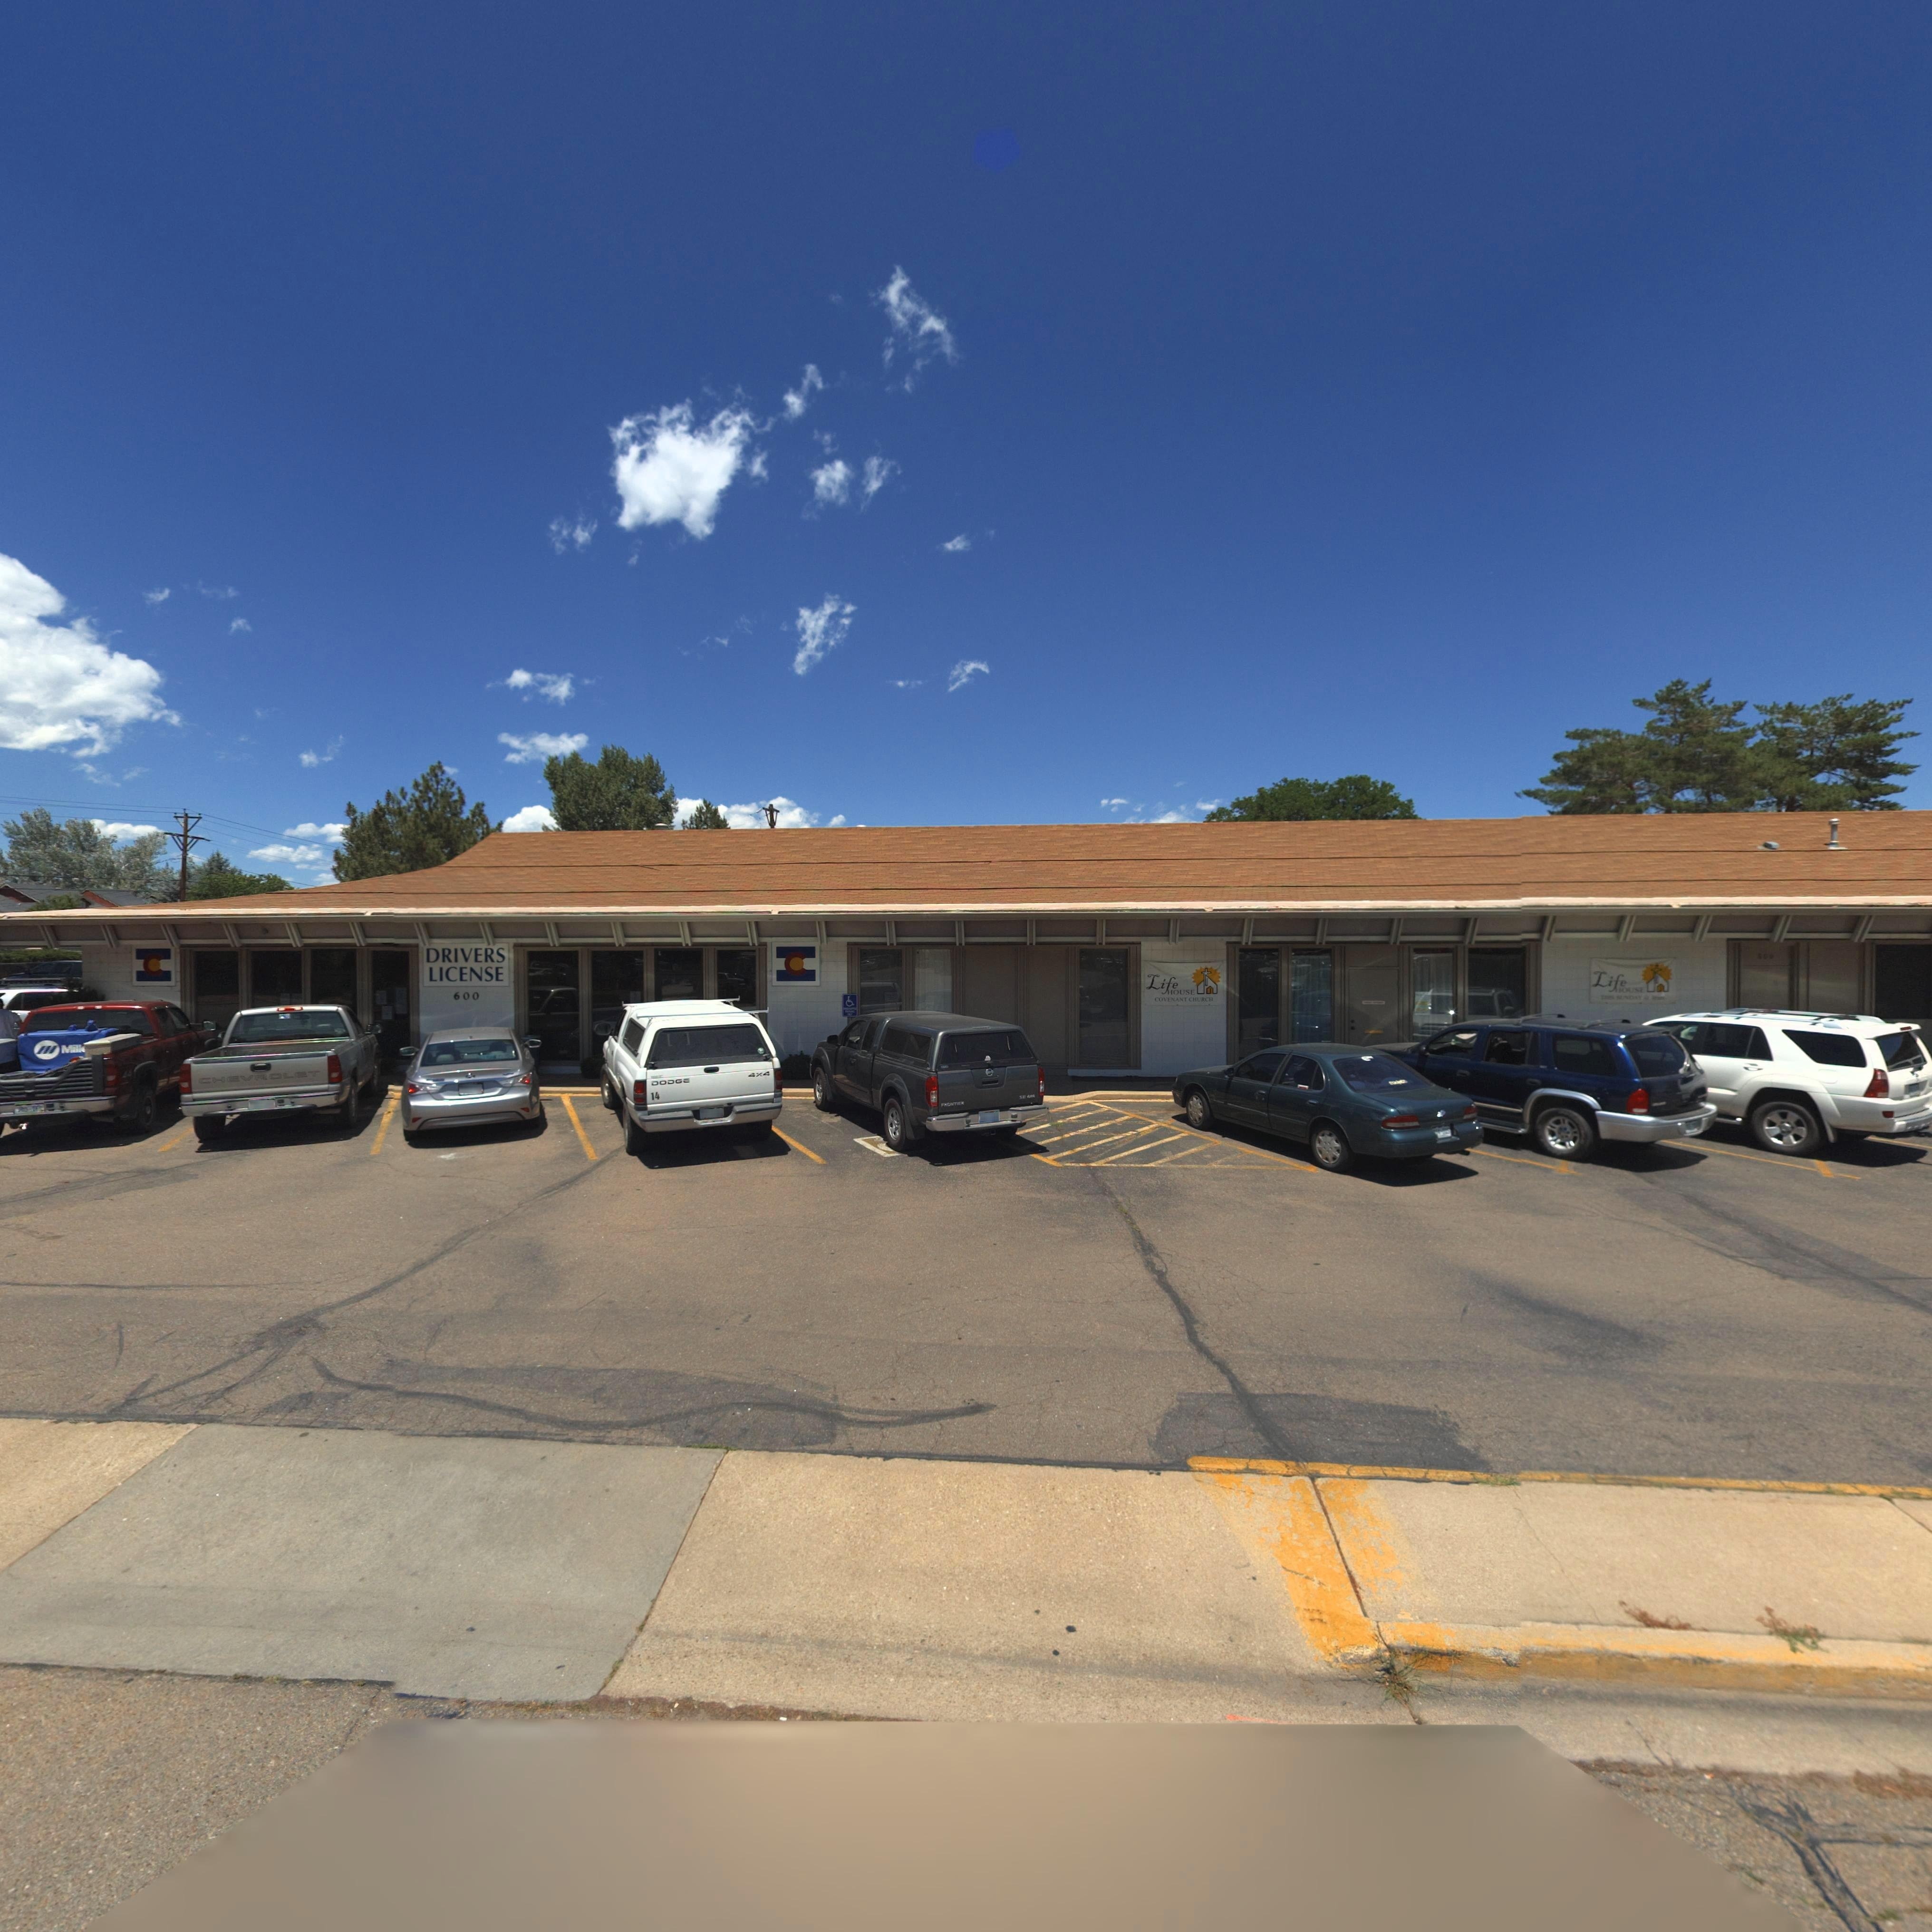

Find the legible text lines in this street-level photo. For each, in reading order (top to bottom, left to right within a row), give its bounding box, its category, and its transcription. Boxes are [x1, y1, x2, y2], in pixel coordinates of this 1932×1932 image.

[425, 946, 506, 963] BusinessName: DRIVERS
[1757, 953, 1774, 959] StreetNumber: *00
[428, 966, 504, 982] BusinessName: LICENSE
[1146, 974, 1179, 989] BusinessName: Life
[1593, 971, 1627, 987] BusinessName: Life
[453, 991, 480, 1001] StreetNumber: 600
[1167, 989, 1196, 995] BusinessName: HOUSE
[1154, 996, 1214, 1002] BusinessName: COVENANT CHURCH
[1614, 986, 1644, 993] BusinessName: *OUSE